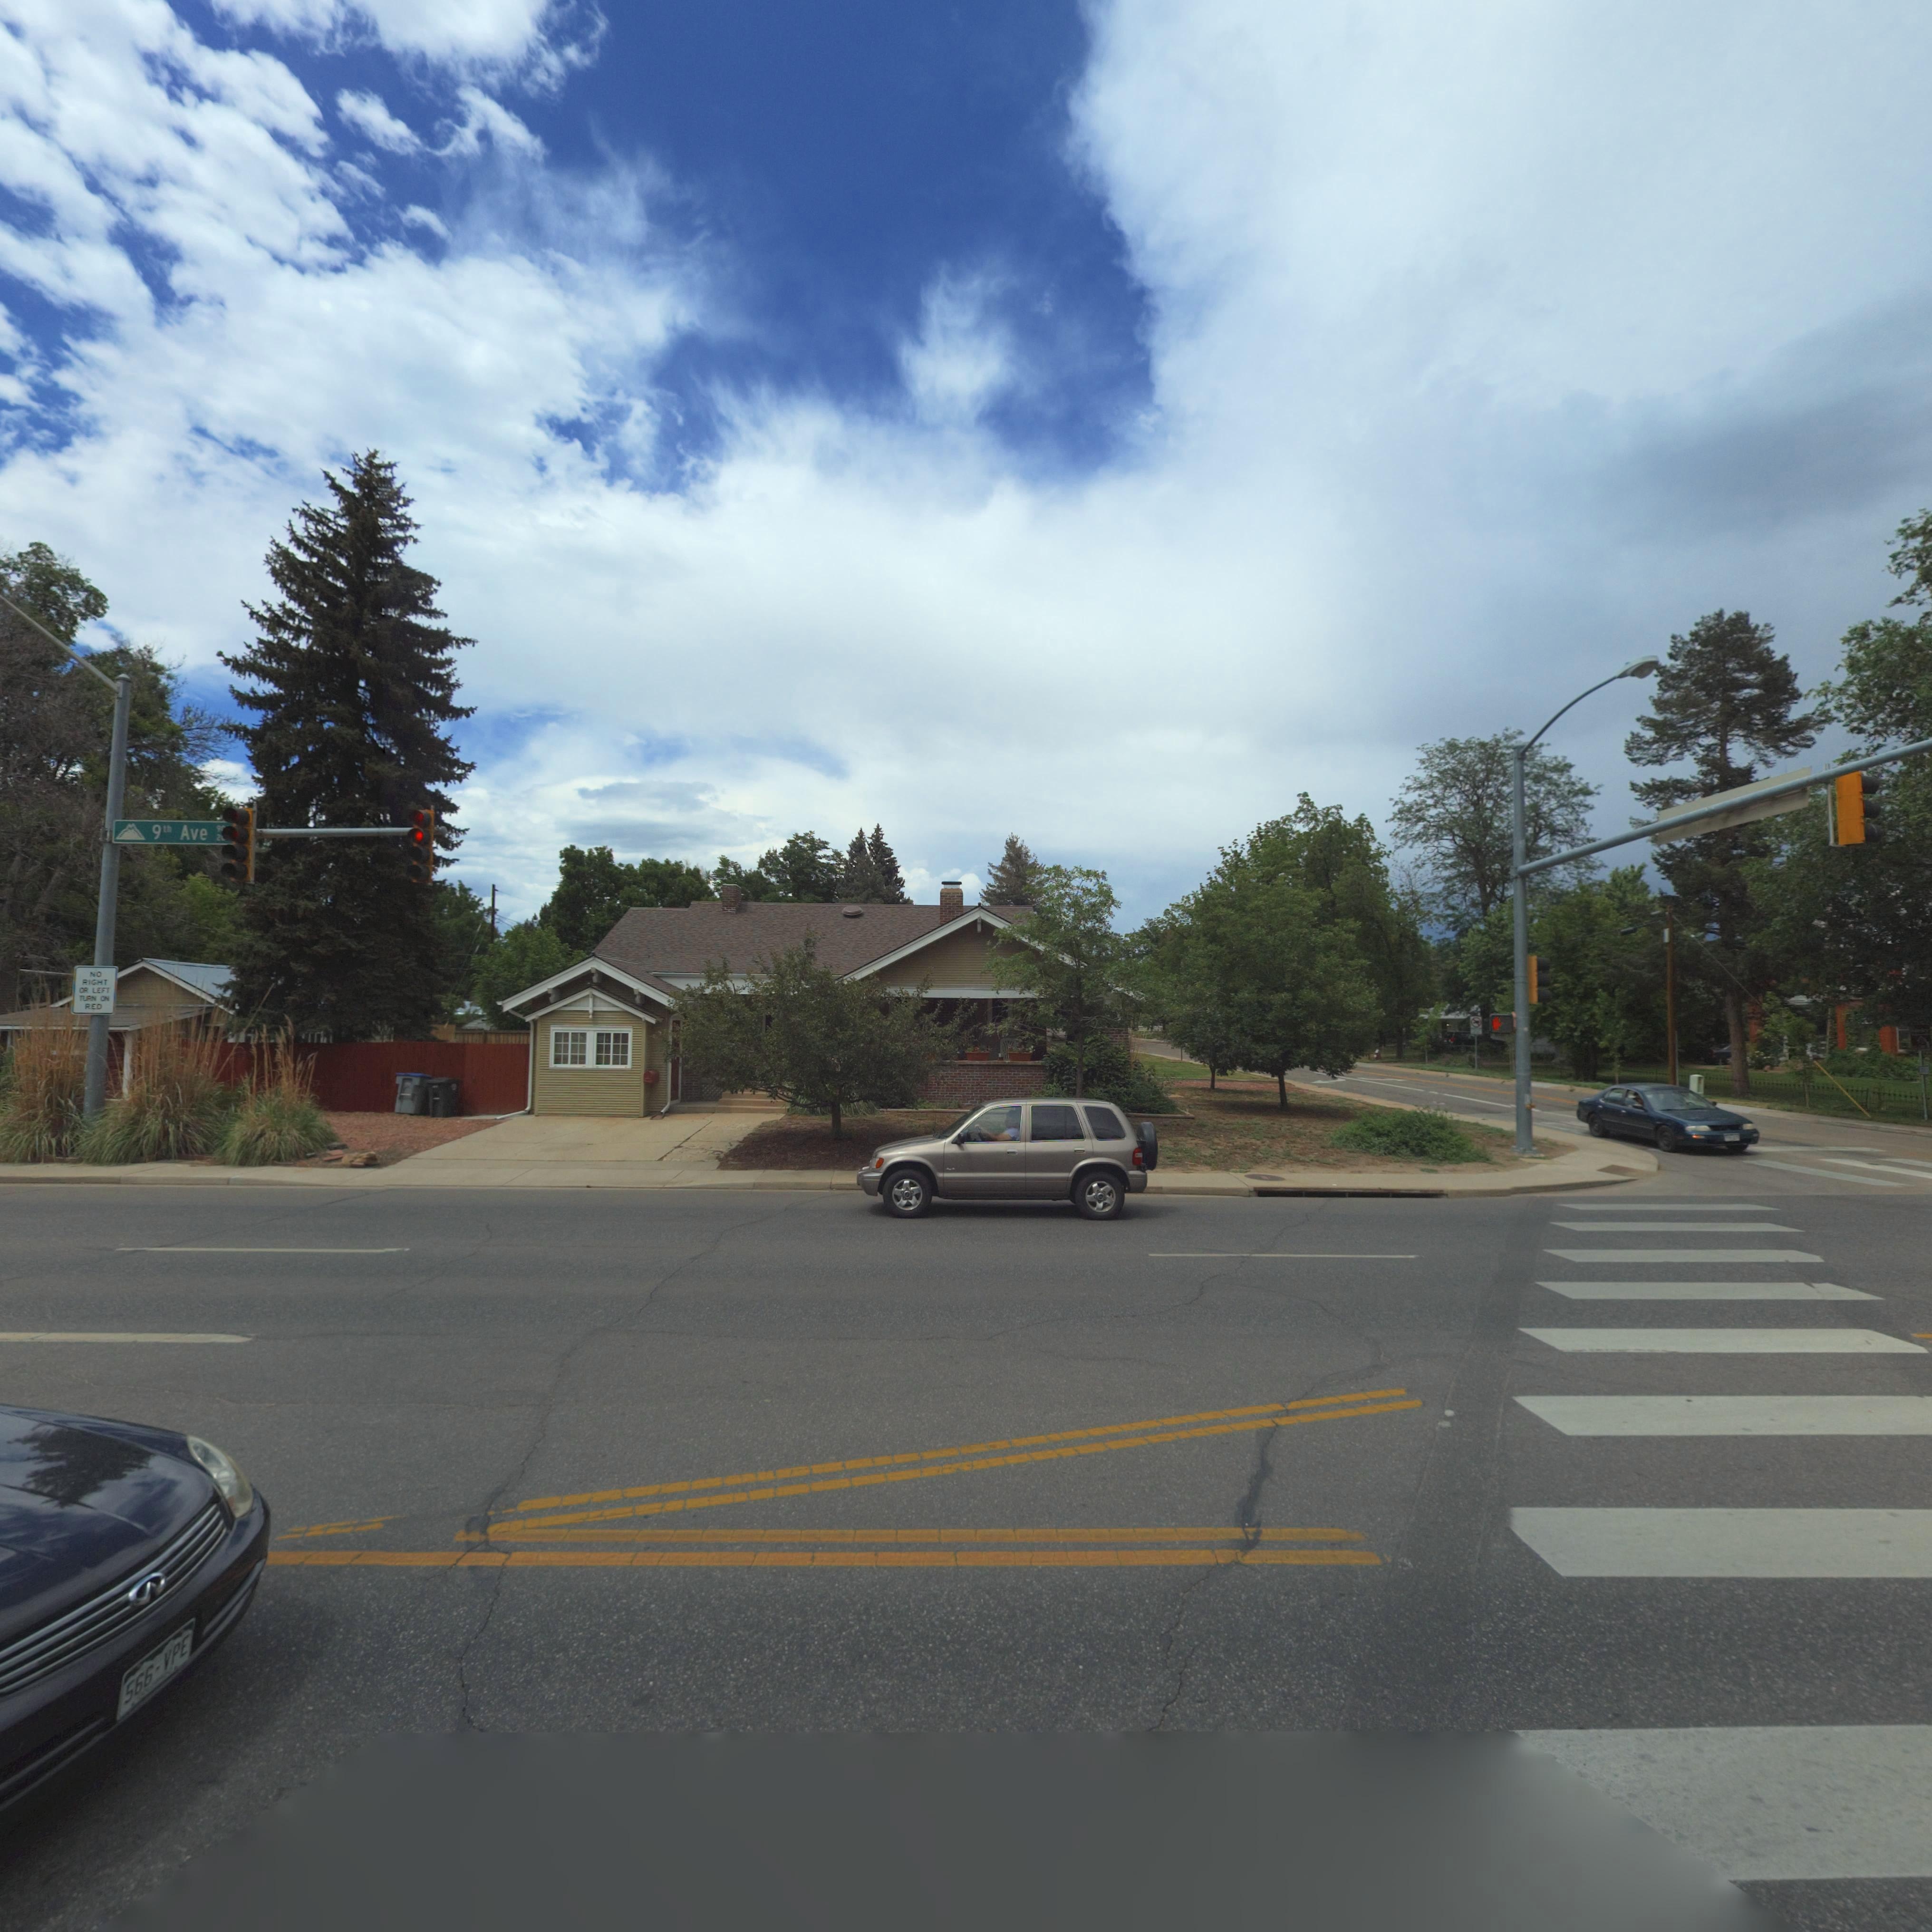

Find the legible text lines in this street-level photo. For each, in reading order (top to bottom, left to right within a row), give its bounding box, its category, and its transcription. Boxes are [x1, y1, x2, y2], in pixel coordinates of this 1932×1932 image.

[151, 823, 207, 841] StreetName: 9th Ave
[216, 824, 226, 832] StreetNumberRange: 9*
[216, 833, 225, 841] StreetNumberRange: 2*